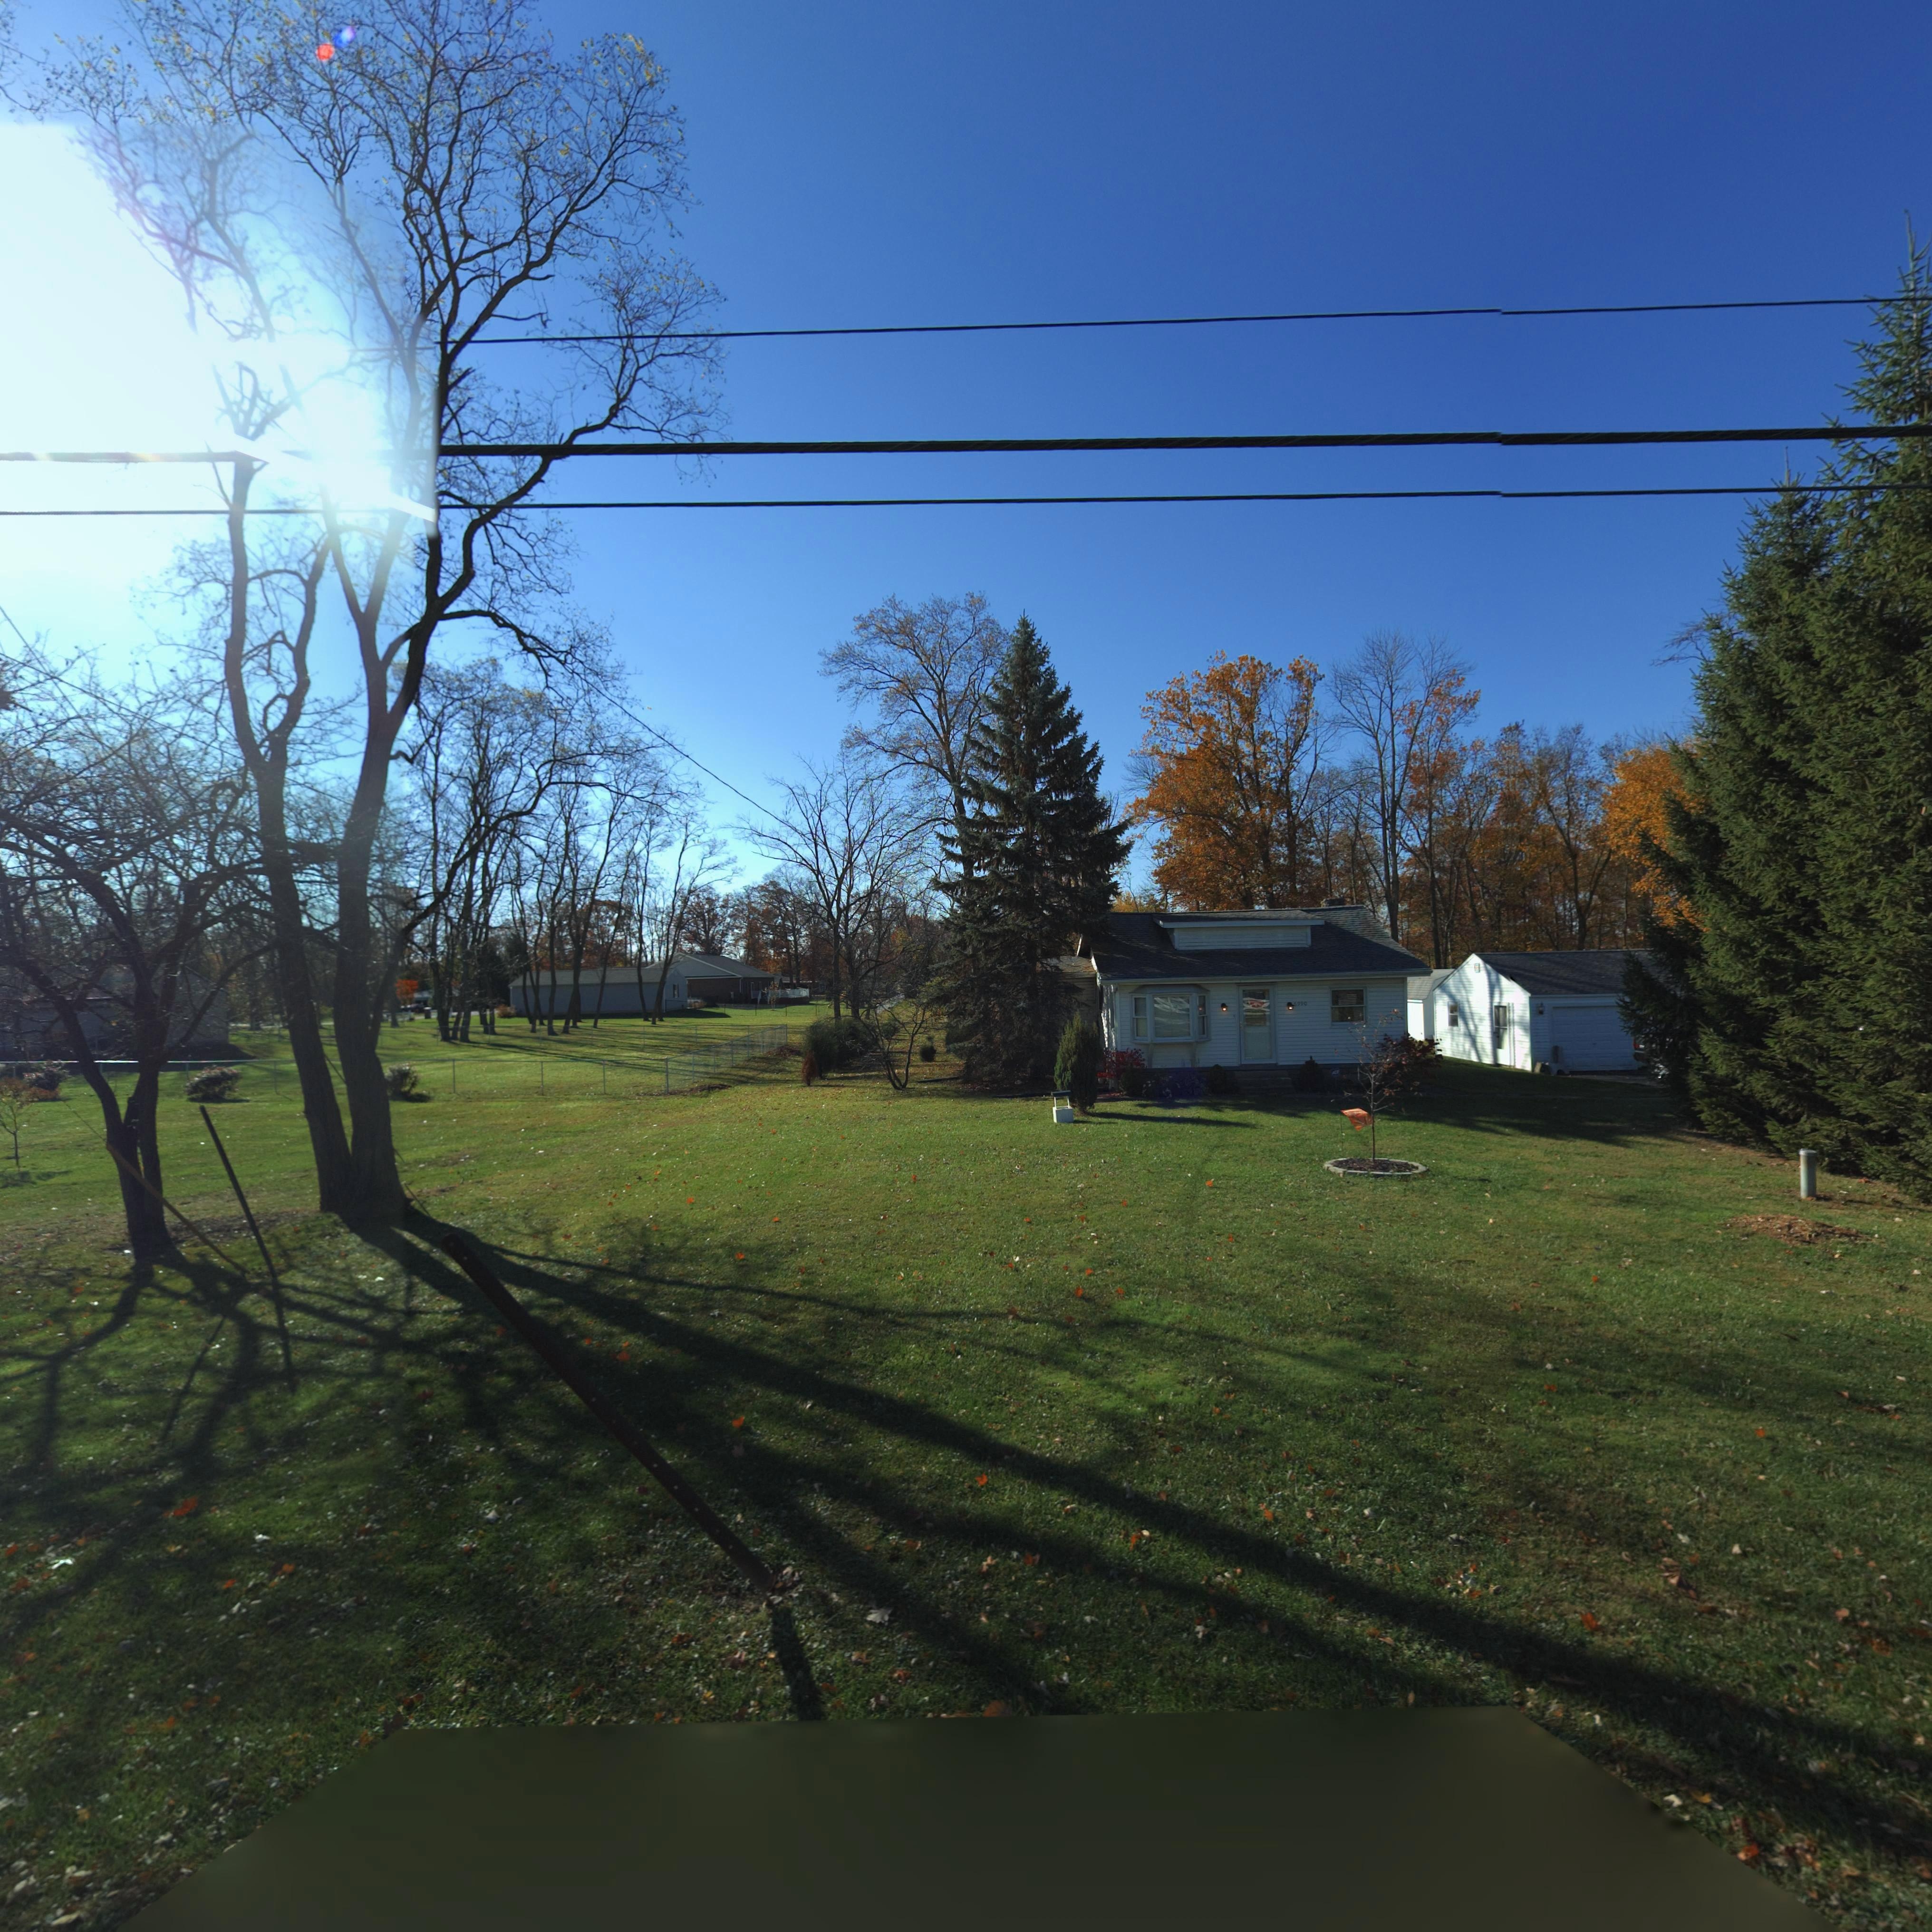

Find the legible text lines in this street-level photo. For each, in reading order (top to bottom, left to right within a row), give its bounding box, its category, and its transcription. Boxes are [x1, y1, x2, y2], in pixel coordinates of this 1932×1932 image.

[1293, 1000, 1308, 1008] StreetNumber: *990